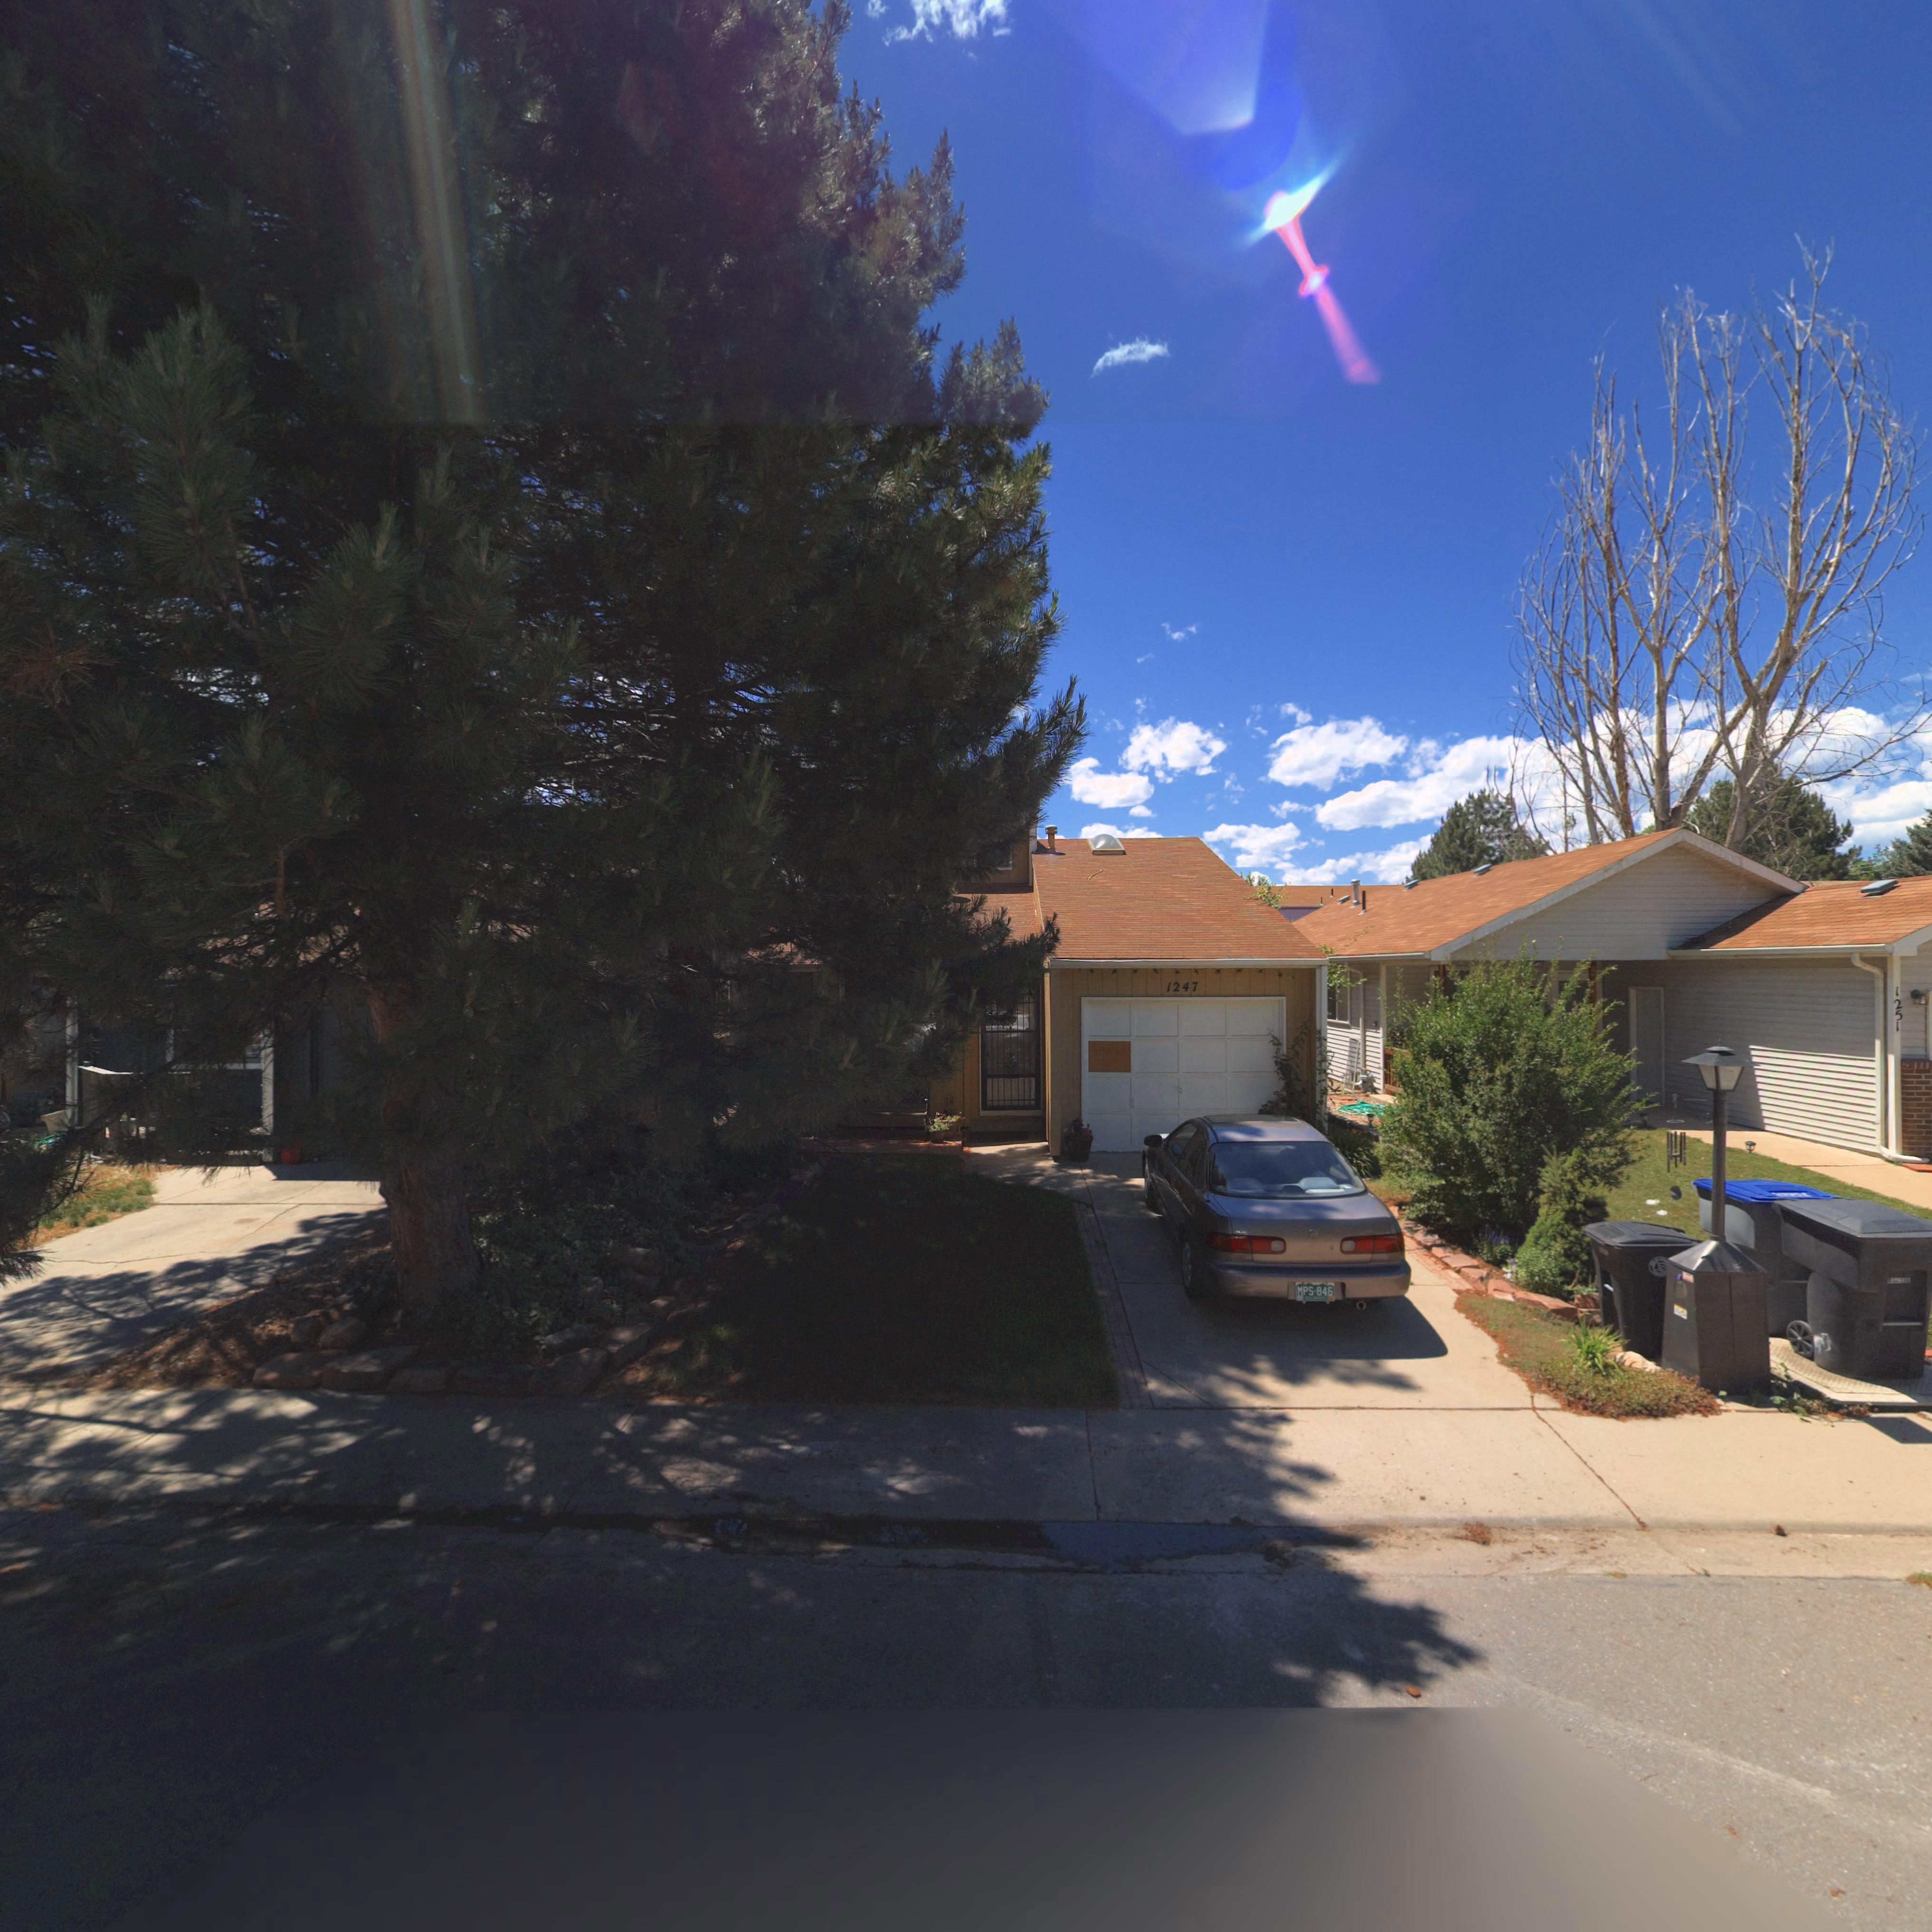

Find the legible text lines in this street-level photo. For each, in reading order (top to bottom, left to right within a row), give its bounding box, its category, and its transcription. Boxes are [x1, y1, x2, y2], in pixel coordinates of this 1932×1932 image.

[1165, 980, 1200, 993] StreetNumber: 1247
[1893, 985, 1903, 1033] StreetNumber: 1251